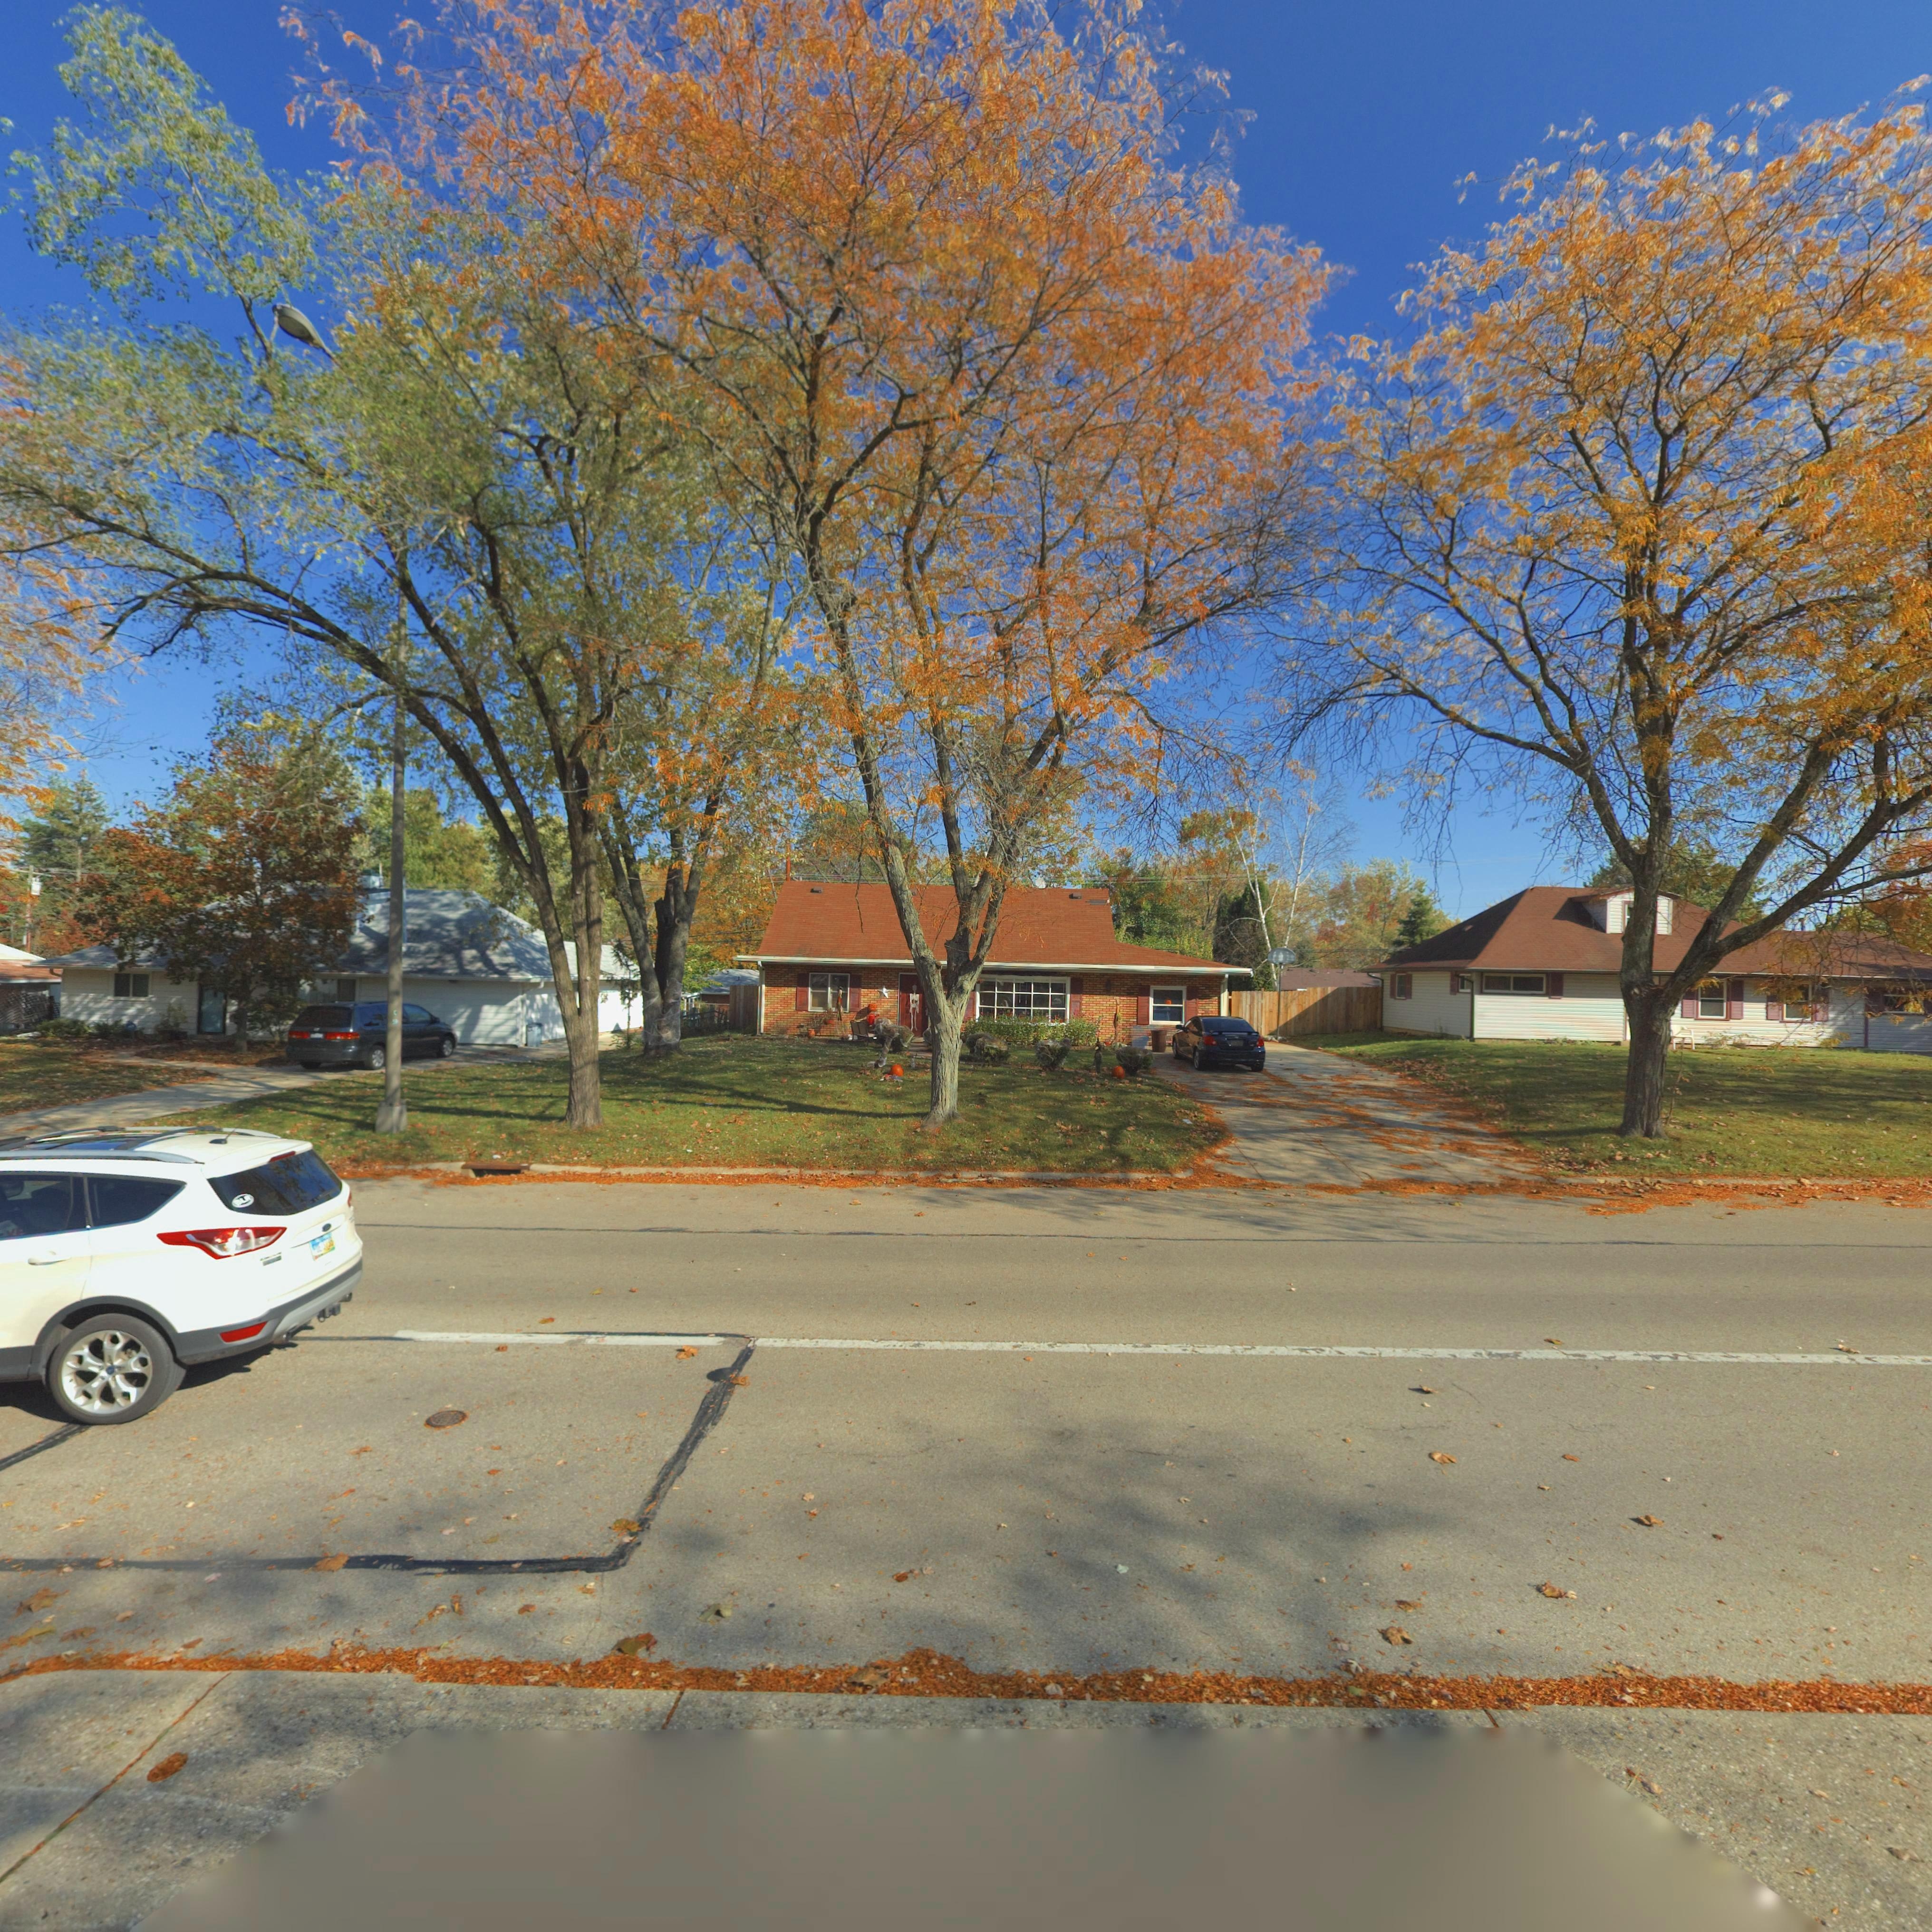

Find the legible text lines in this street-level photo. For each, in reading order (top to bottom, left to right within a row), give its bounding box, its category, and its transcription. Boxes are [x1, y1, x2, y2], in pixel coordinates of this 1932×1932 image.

[393, 1009, 397, 1015] None: C
[391, 1018, 399, 1025] None: 59
[232, 1195, 251, 1207] None: BLR
[311, 1236, 334, 1256] None: **E*3738